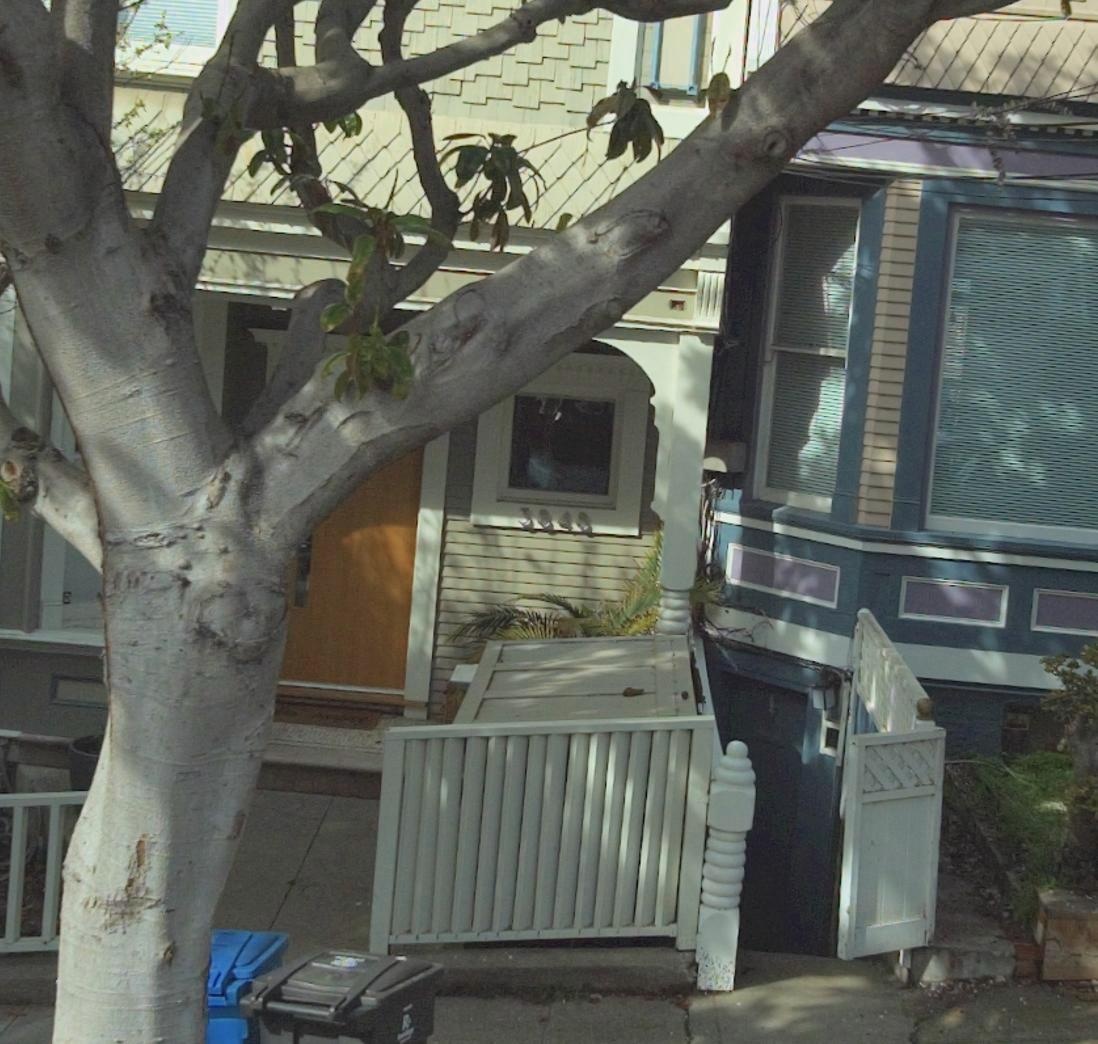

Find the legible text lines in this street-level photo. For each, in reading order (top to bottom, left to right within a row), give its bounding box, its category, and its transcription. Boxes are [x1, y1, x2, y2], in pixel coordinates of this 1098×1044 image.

[516, 506, 591, 533] StreetNumber: 3848